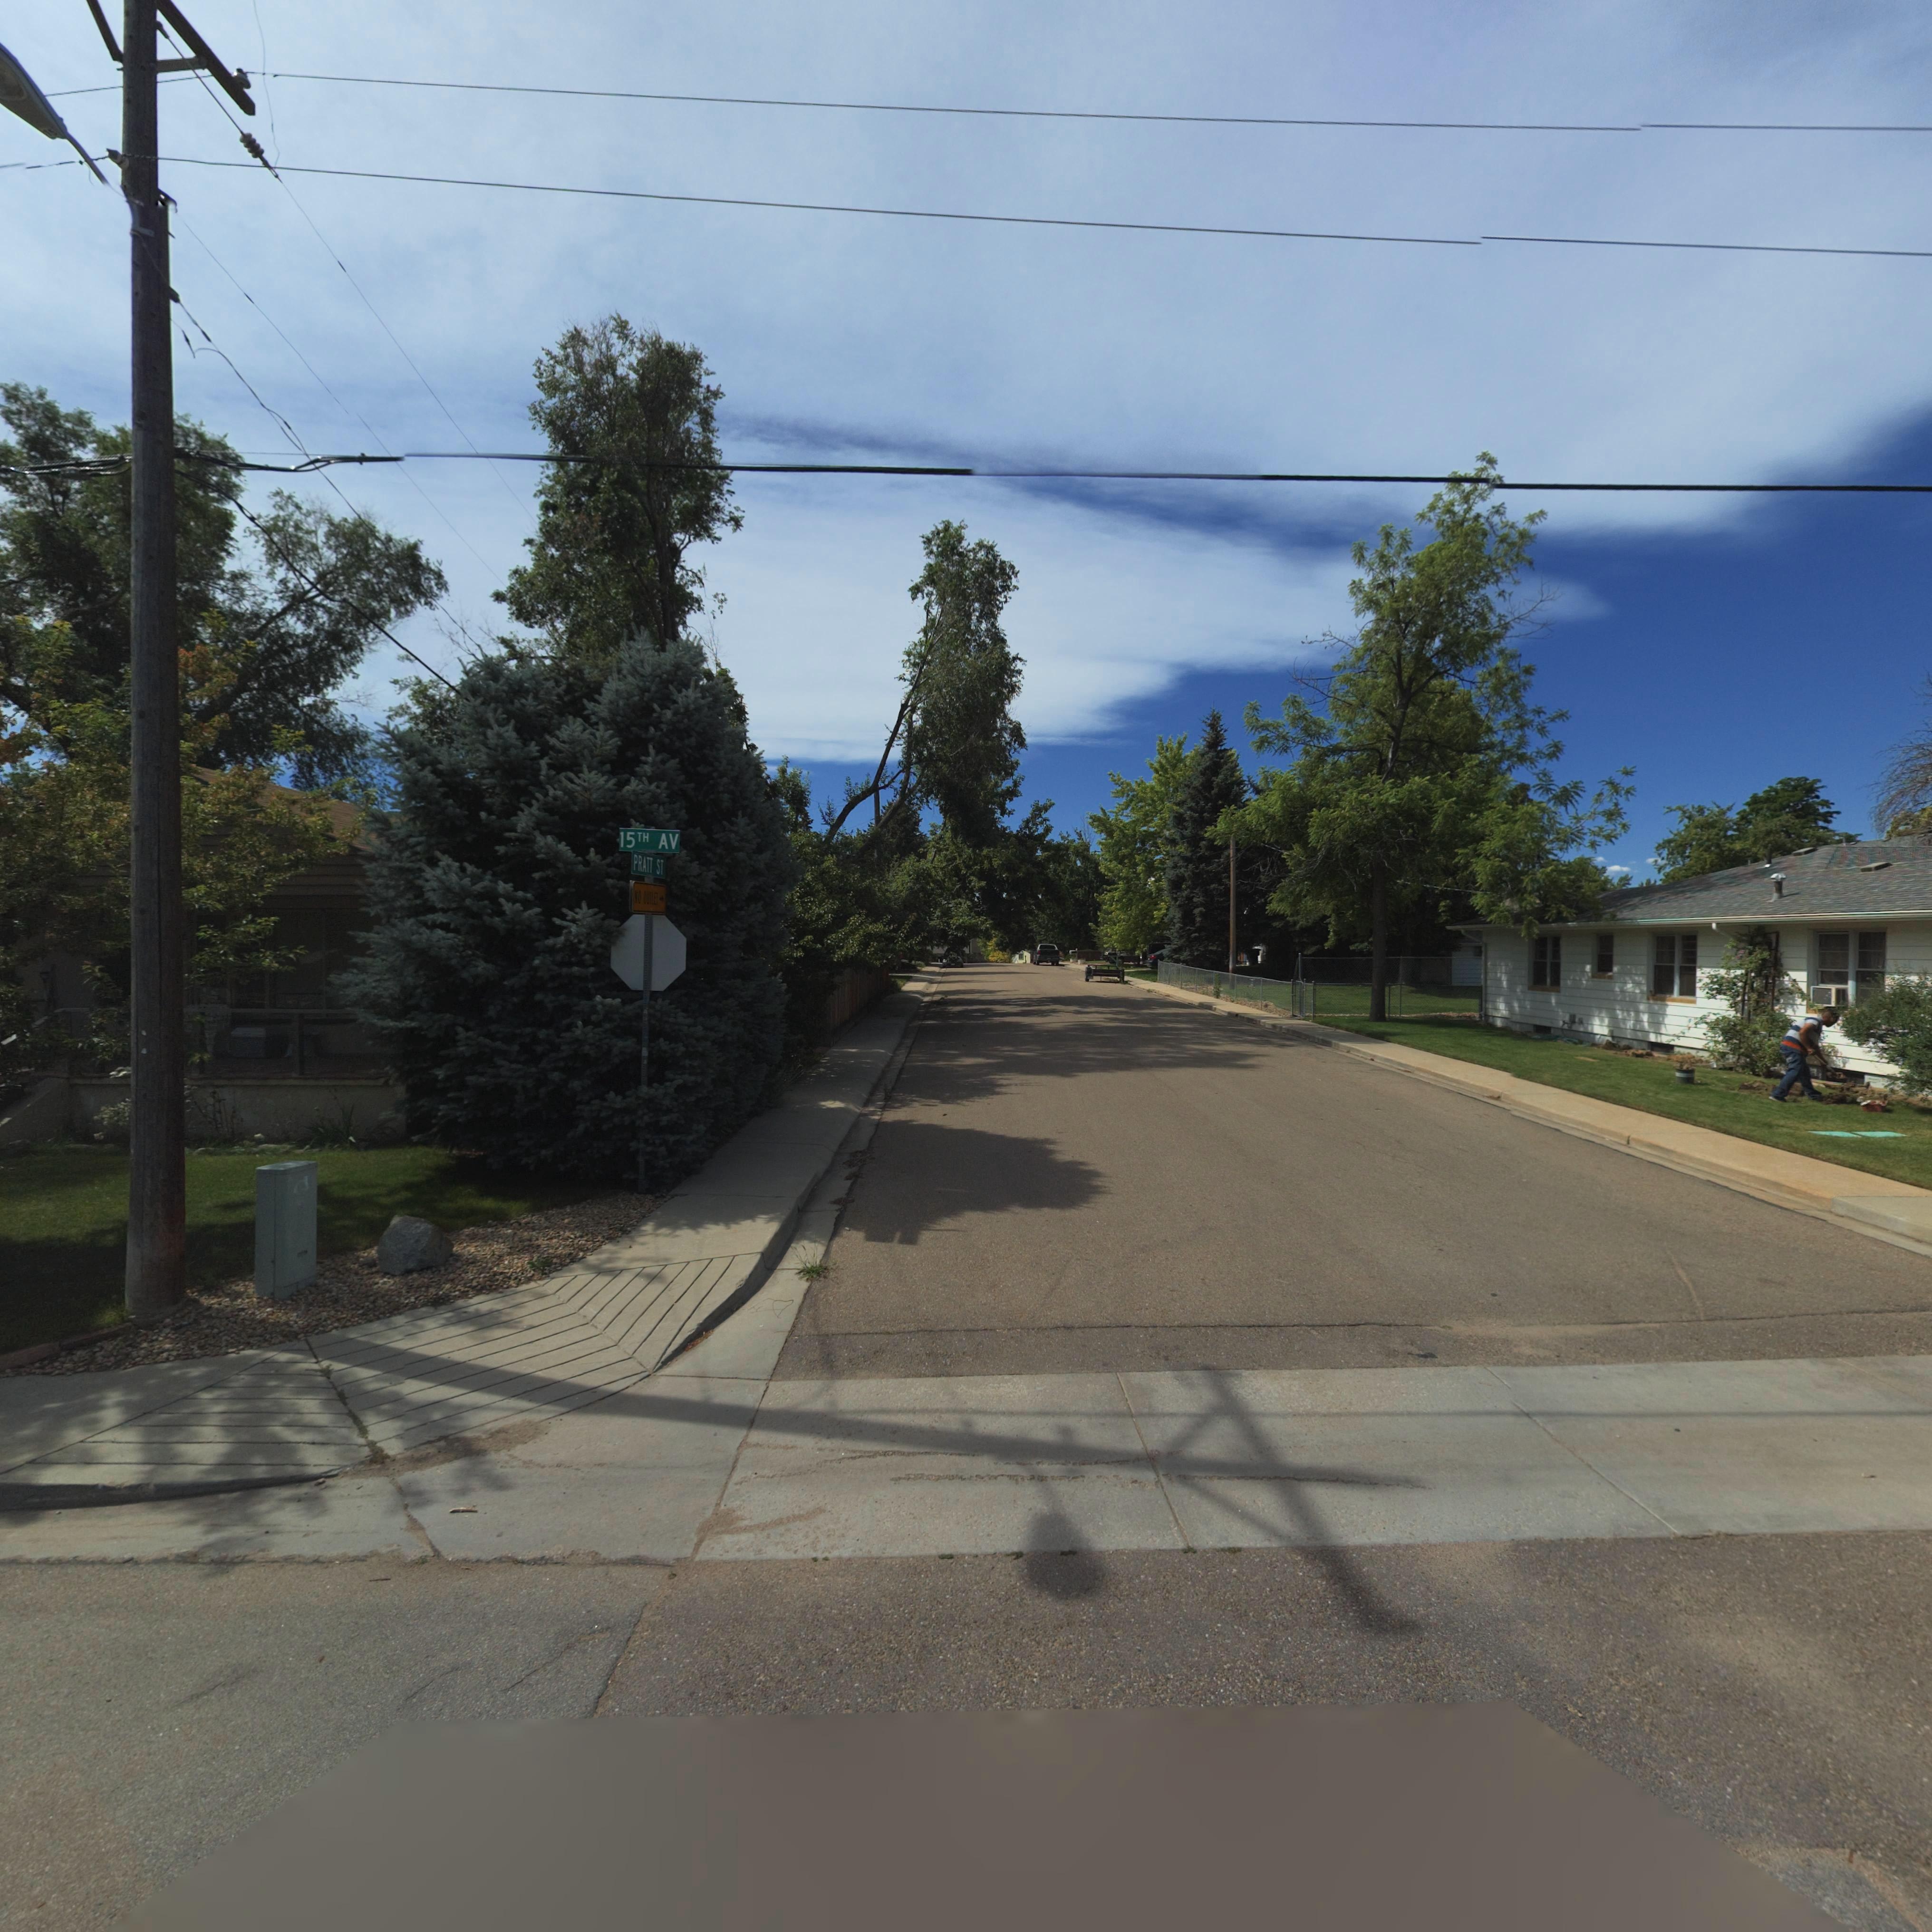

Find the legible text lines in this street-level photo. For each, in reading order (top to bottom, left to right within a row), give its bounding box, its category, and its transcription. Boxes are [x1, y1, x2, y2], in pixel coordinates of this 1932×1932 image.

[618, 831, 679, 850] StreetName: 15TH AV
[632, 853, 665, 875] StreetName: PRATT ST